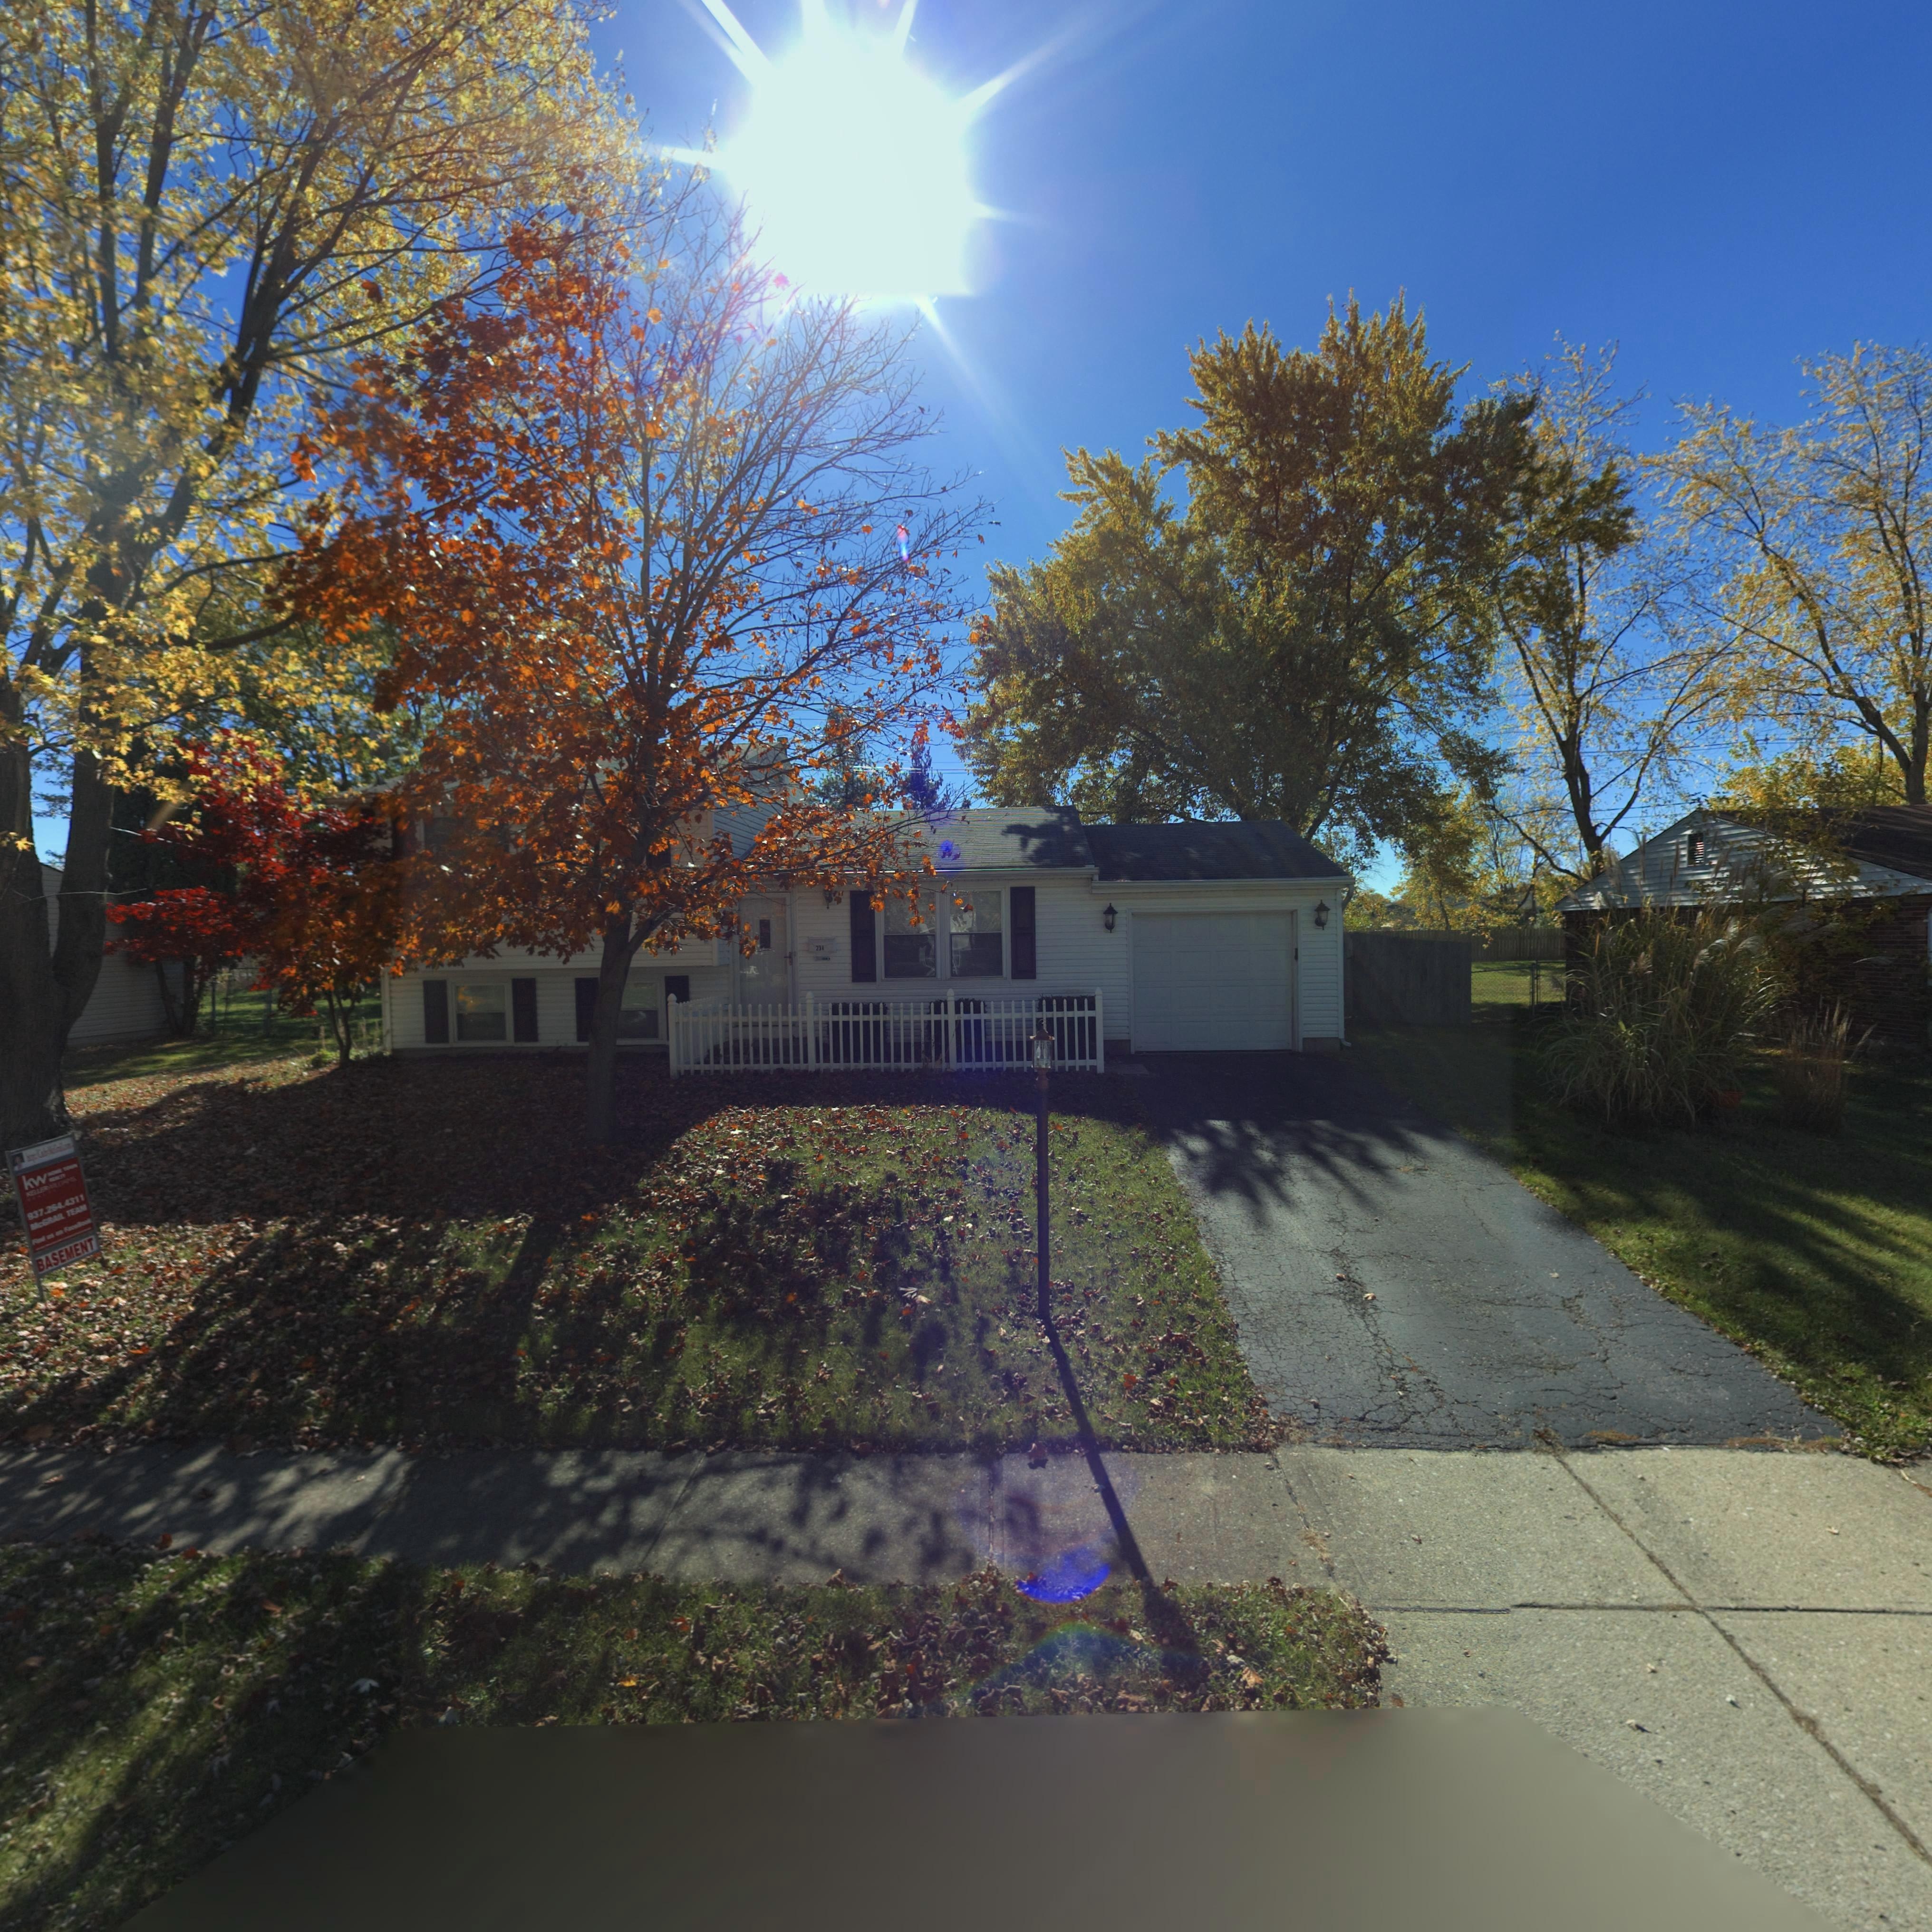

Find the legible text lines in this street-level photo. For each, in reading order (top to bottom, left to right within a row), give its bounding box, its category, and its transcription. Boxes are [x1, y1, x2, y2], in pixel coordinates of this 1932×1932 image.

[815, 945, 824, 951] StreetNumber: 234